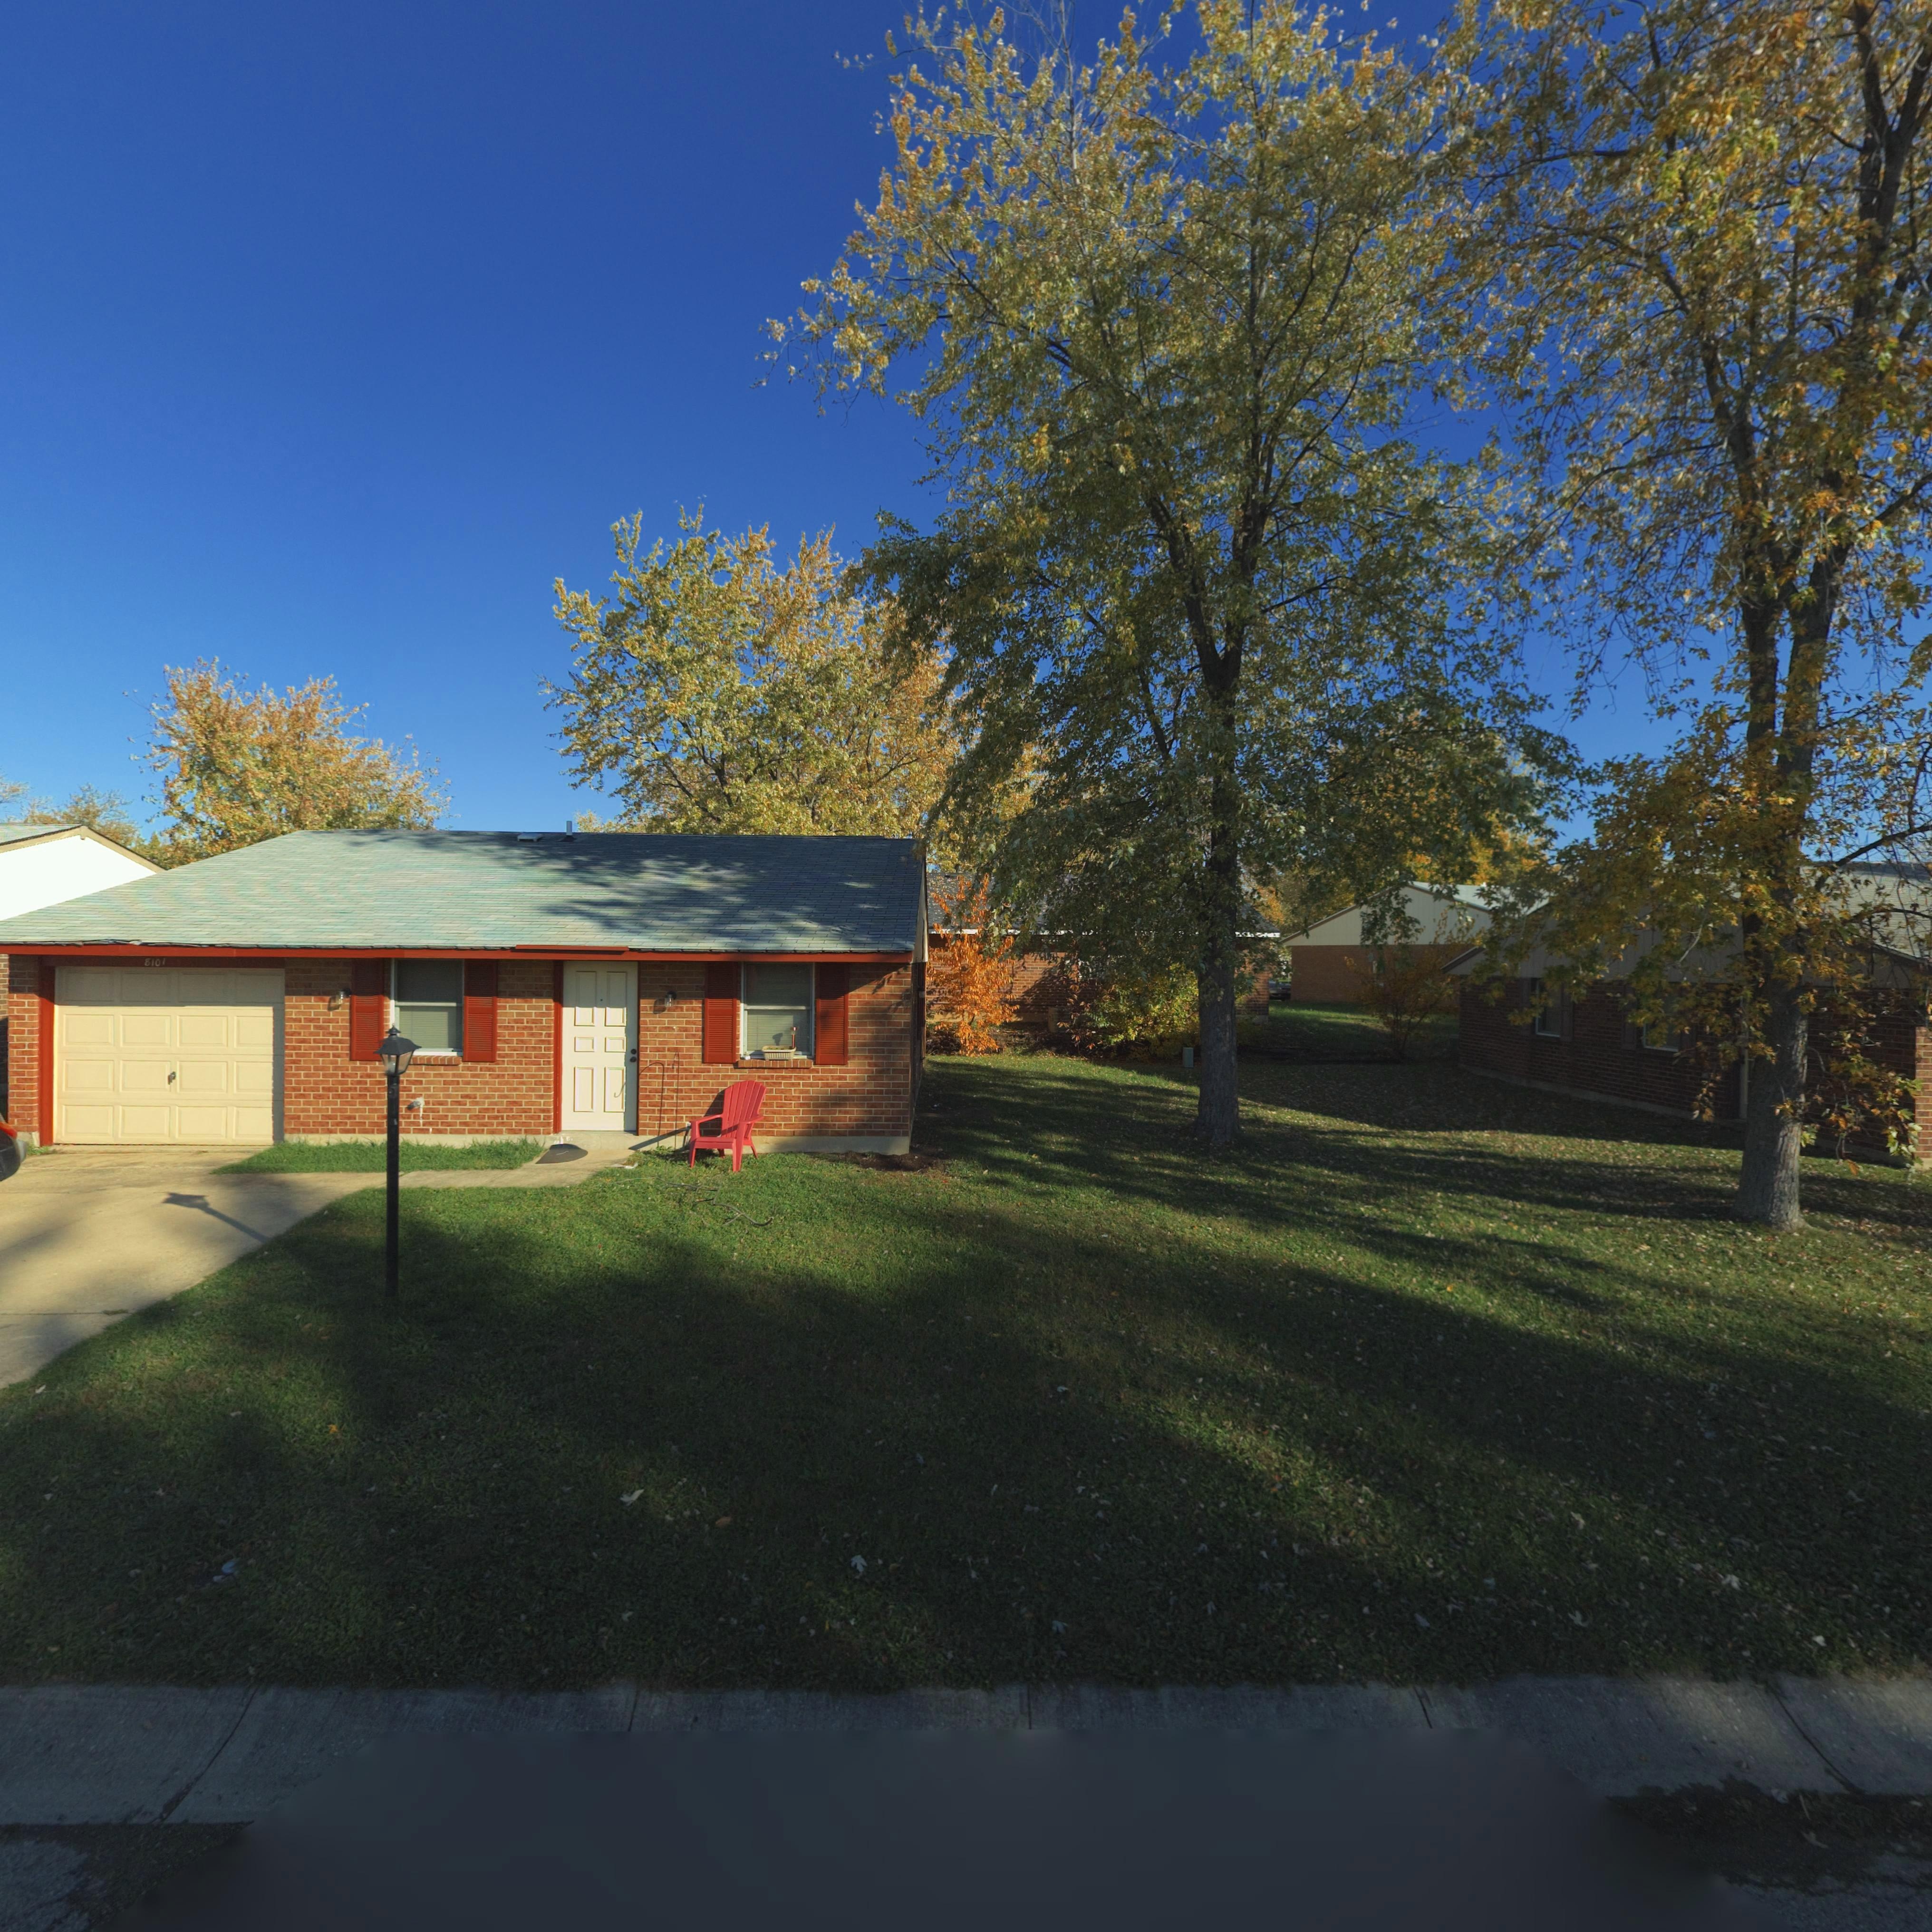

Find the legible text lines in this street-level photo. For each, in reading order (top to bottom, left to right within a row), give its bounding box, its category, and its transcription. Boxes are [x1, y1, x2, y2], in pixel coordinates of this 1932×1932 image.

[143, 956, 167, 967] StreetNumber: 8101